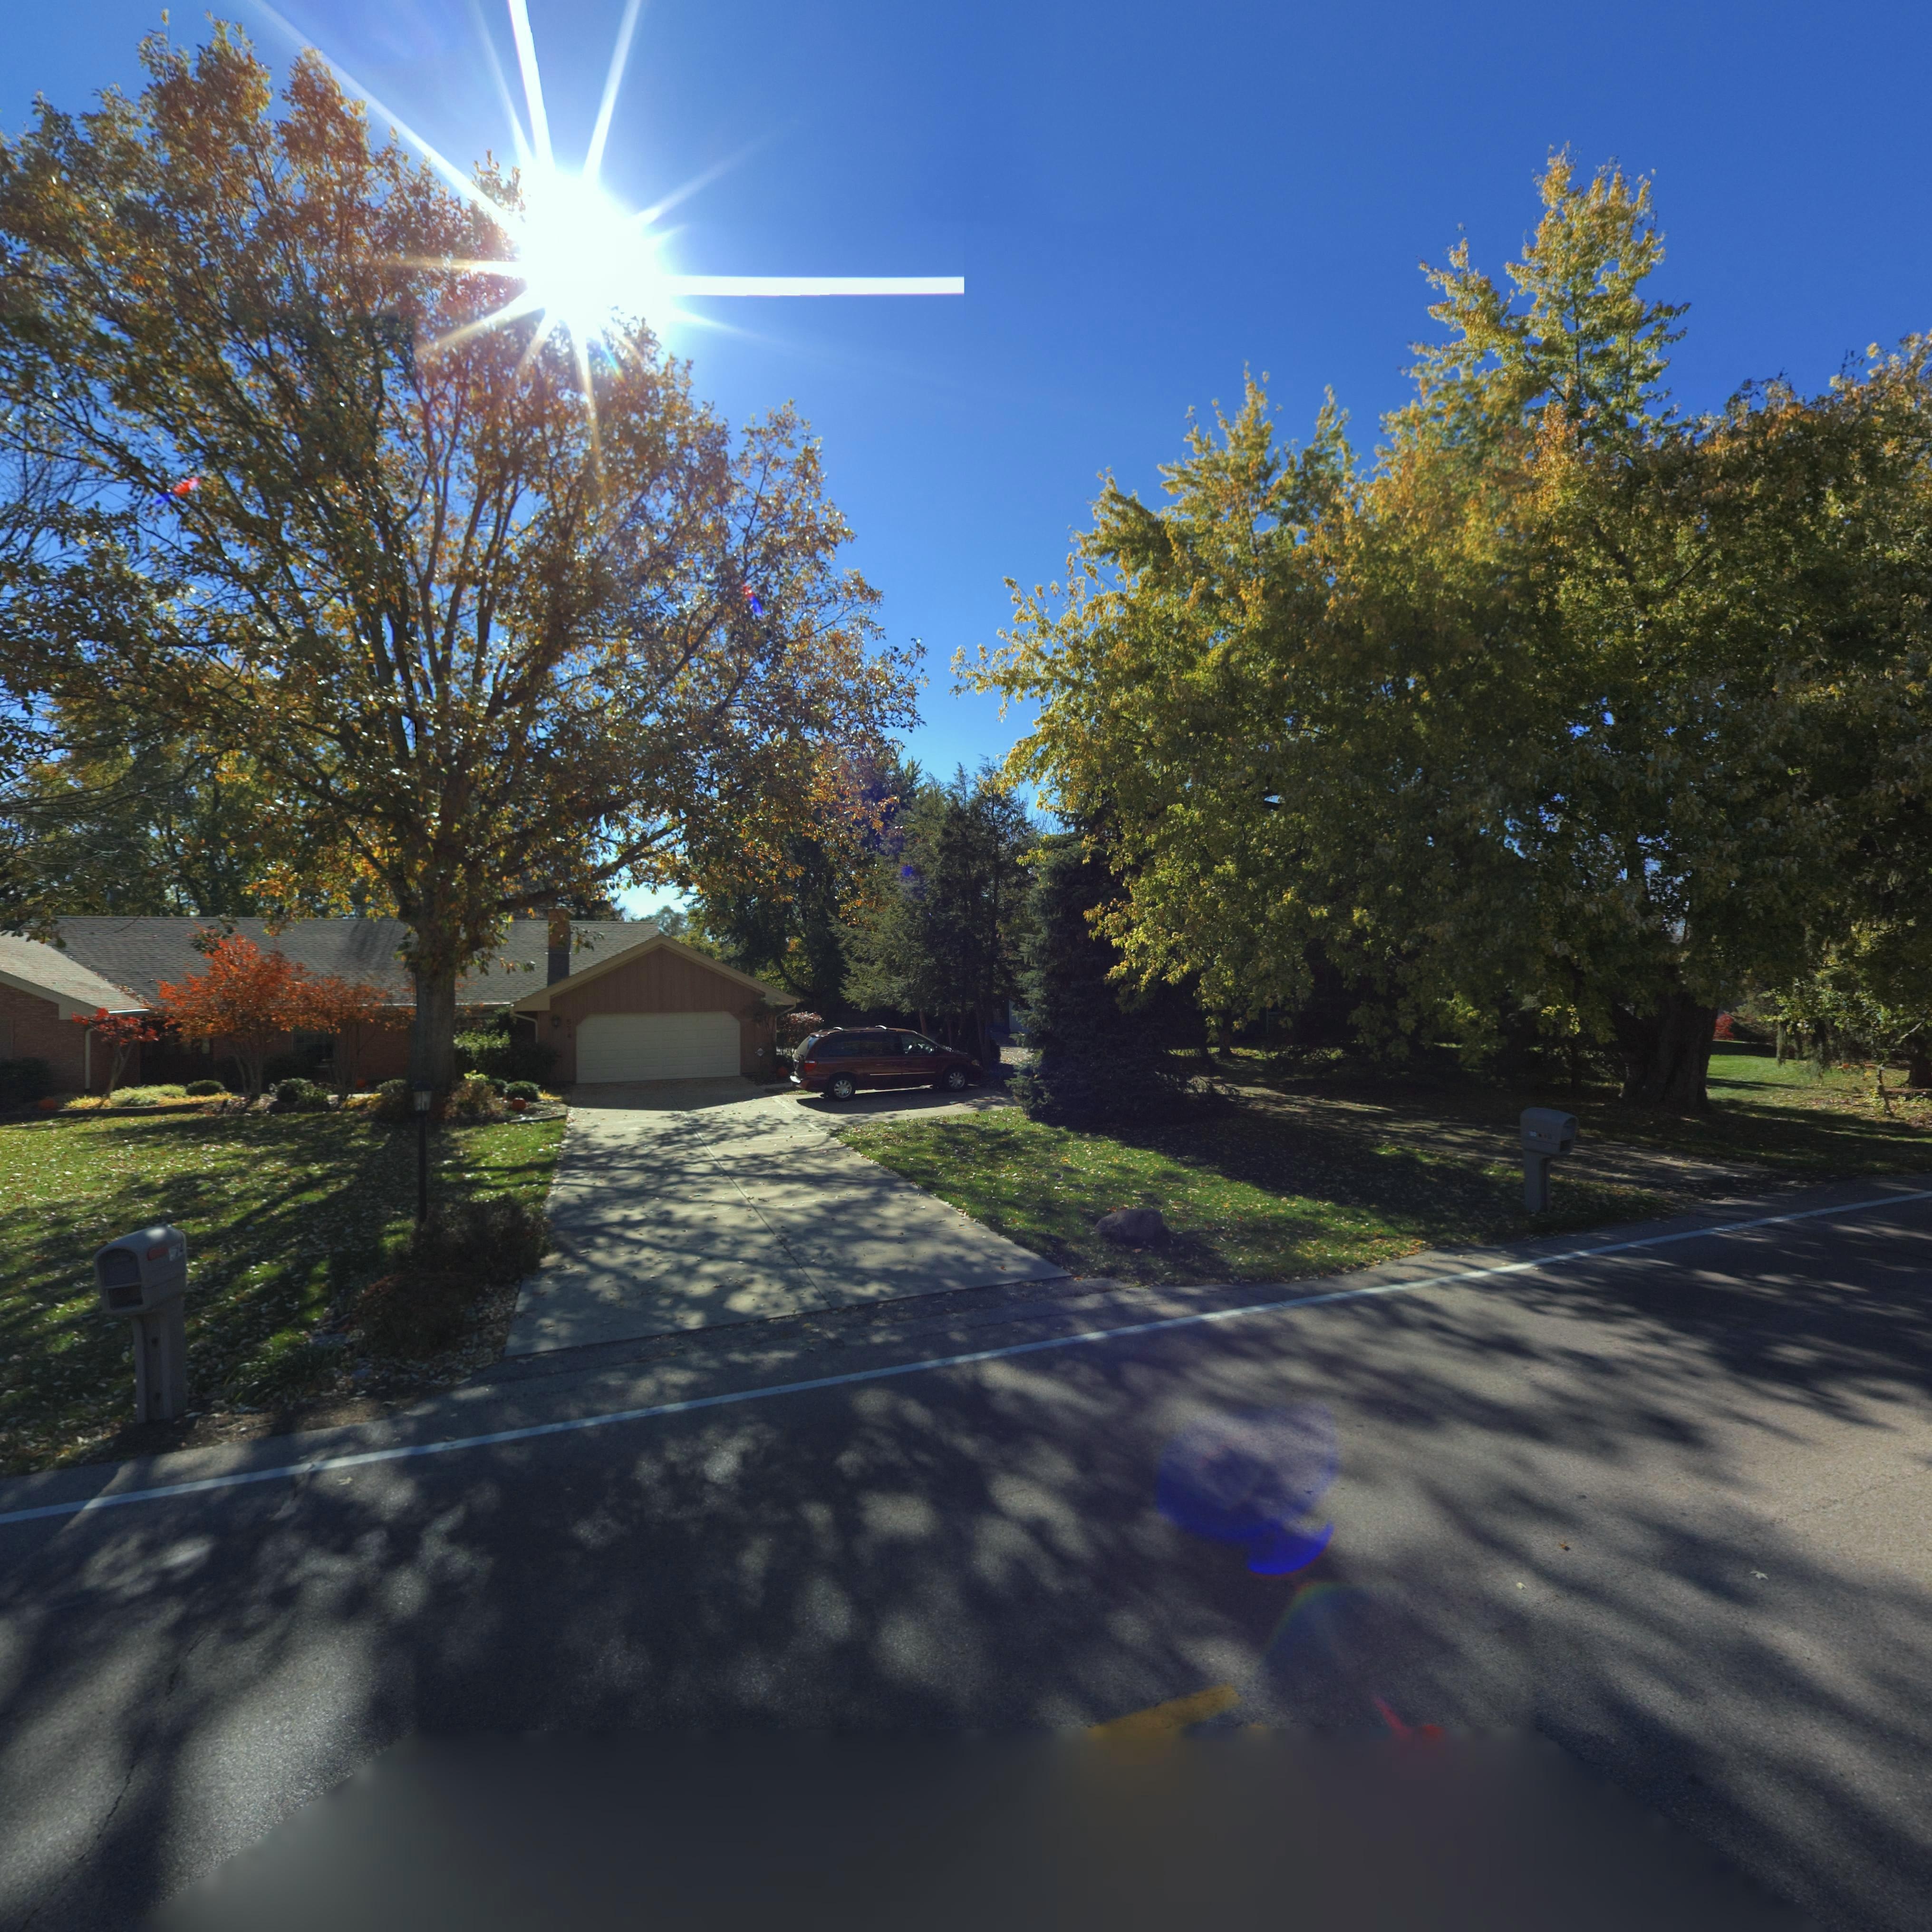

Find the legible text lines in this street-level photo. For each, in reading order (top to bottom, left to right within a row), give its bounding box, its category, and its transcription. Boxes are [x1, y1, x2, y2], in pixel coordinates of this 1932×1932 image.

[566, 1018, 572, 1039] StreetNumber: 574
[1528, 1130, 1537, 1138] StreetNumber: *80
[168, 1241, 185, 1262] StreetNumber: 574